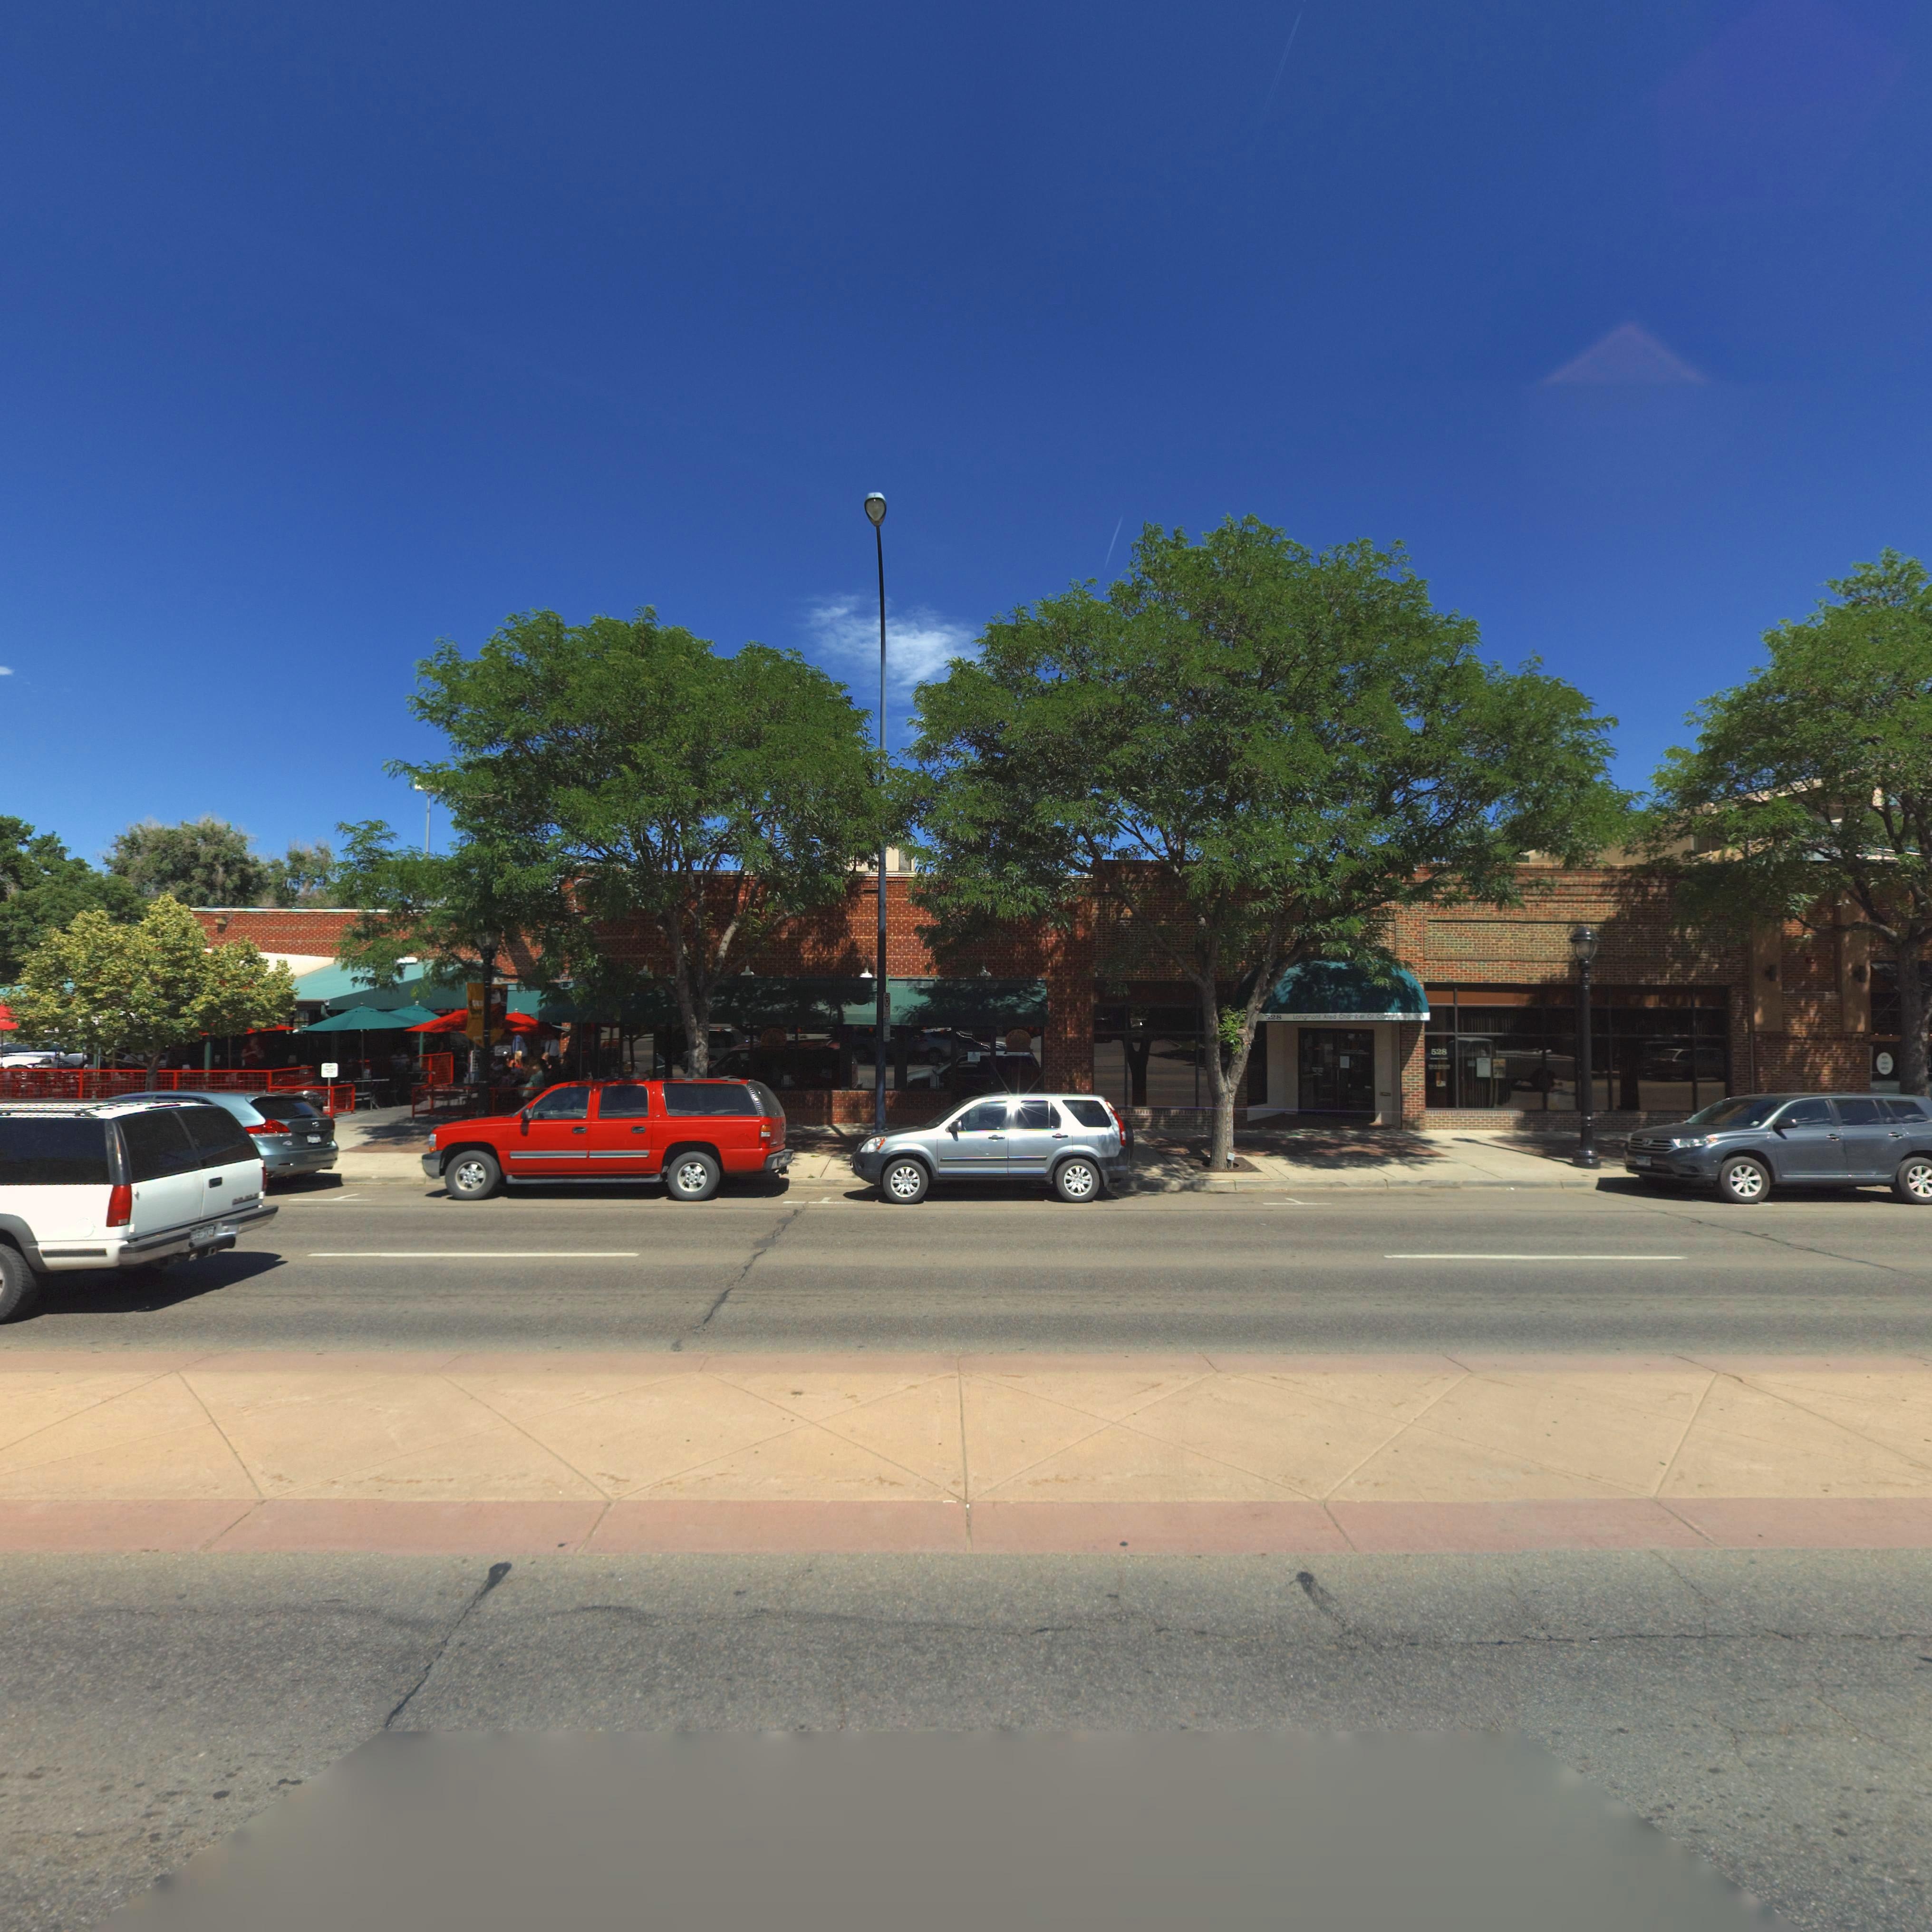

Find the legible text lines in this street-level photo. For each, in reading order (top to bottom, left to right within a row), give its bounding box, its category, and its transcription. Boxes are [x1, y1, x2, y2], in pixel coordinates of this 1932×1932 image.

[1265, 1014, 1282, 1020] StreetNumber: 528
[761, 1028, 786, 1042] BusinessName: **** *OUS*
[1006, 1030, 1031, 1043] BusinessName: **MP HOU**
[1431, 1048, 1447, 1055] StreetNumber: 528